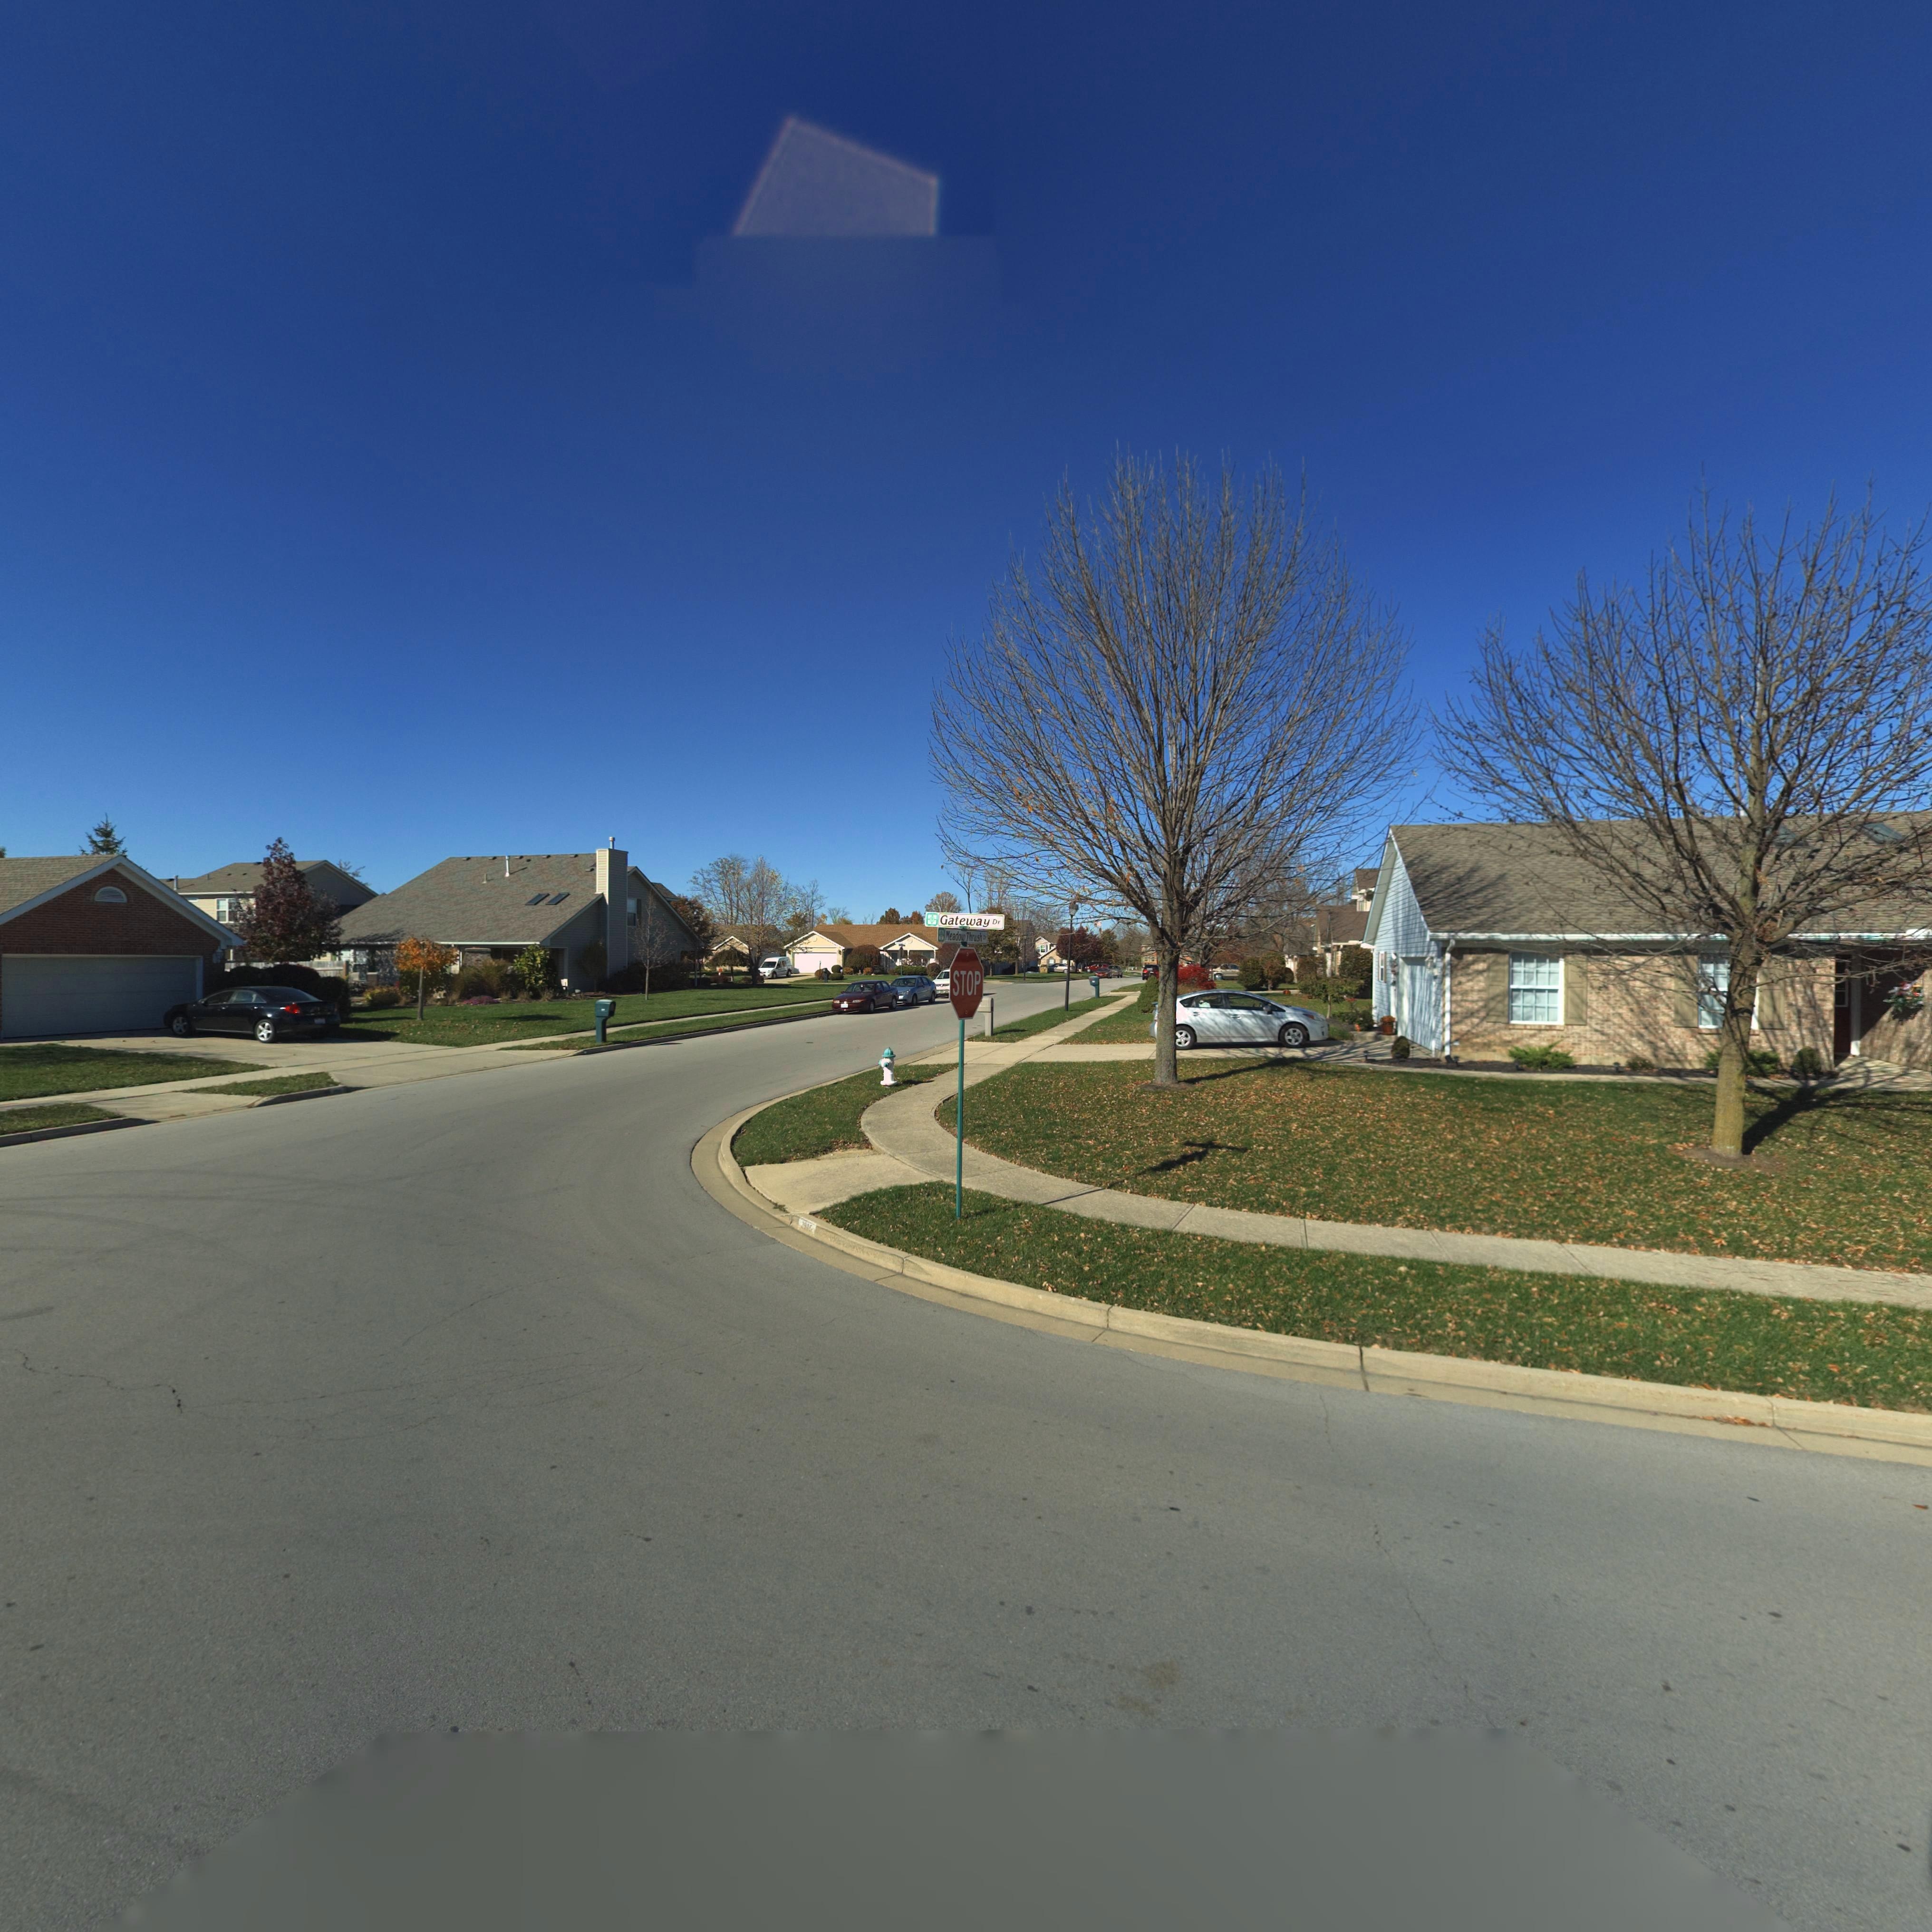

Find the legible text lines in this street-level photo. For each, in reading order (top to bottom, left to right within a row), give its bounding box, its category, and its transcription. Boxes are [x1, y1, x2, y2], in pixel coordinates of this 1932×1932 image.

[939, 914, 1002, 928] StreetName: Gateway Dr
[945, 929, 983, 943] StreetName: Meadow Thrush
[800, 1220, 813, 1233] StreetNumber: 29*5